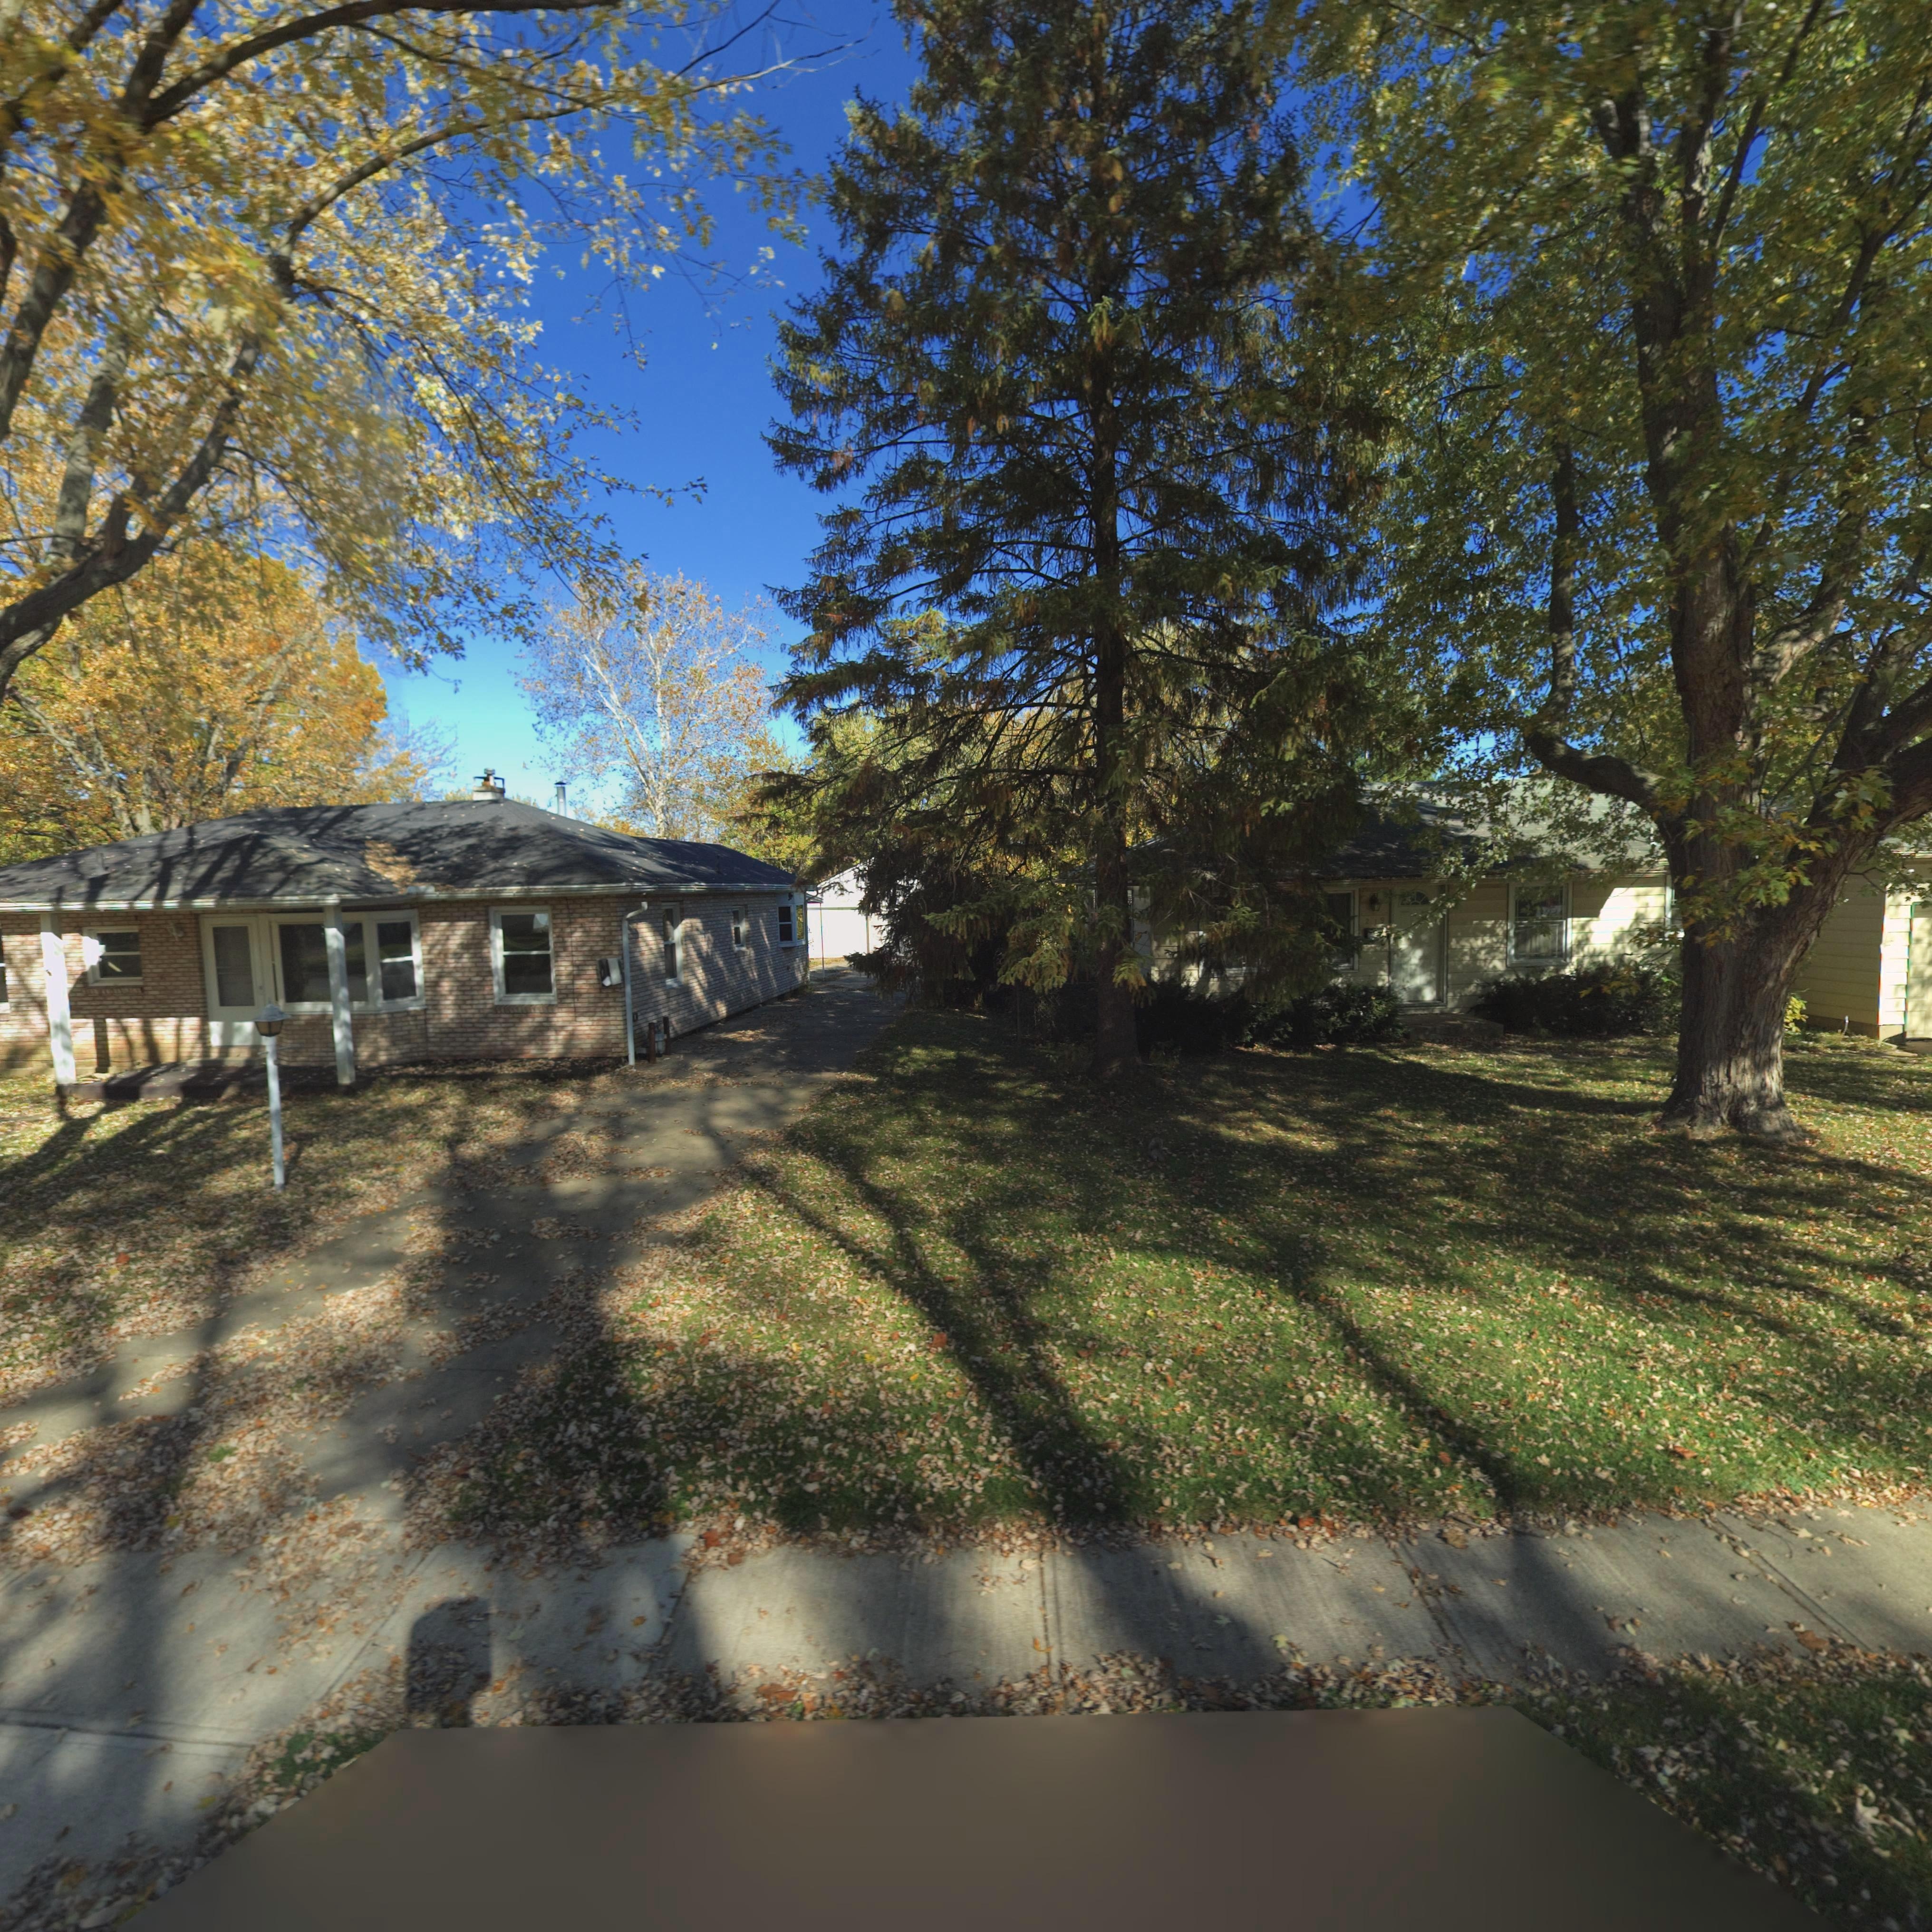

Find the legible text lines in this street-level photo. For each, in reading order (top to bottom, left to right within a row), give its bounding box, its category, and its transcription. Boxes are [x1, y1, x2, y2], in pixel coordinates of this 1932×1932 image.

[1364, 916, 1385, 926] StreetNumber: 219